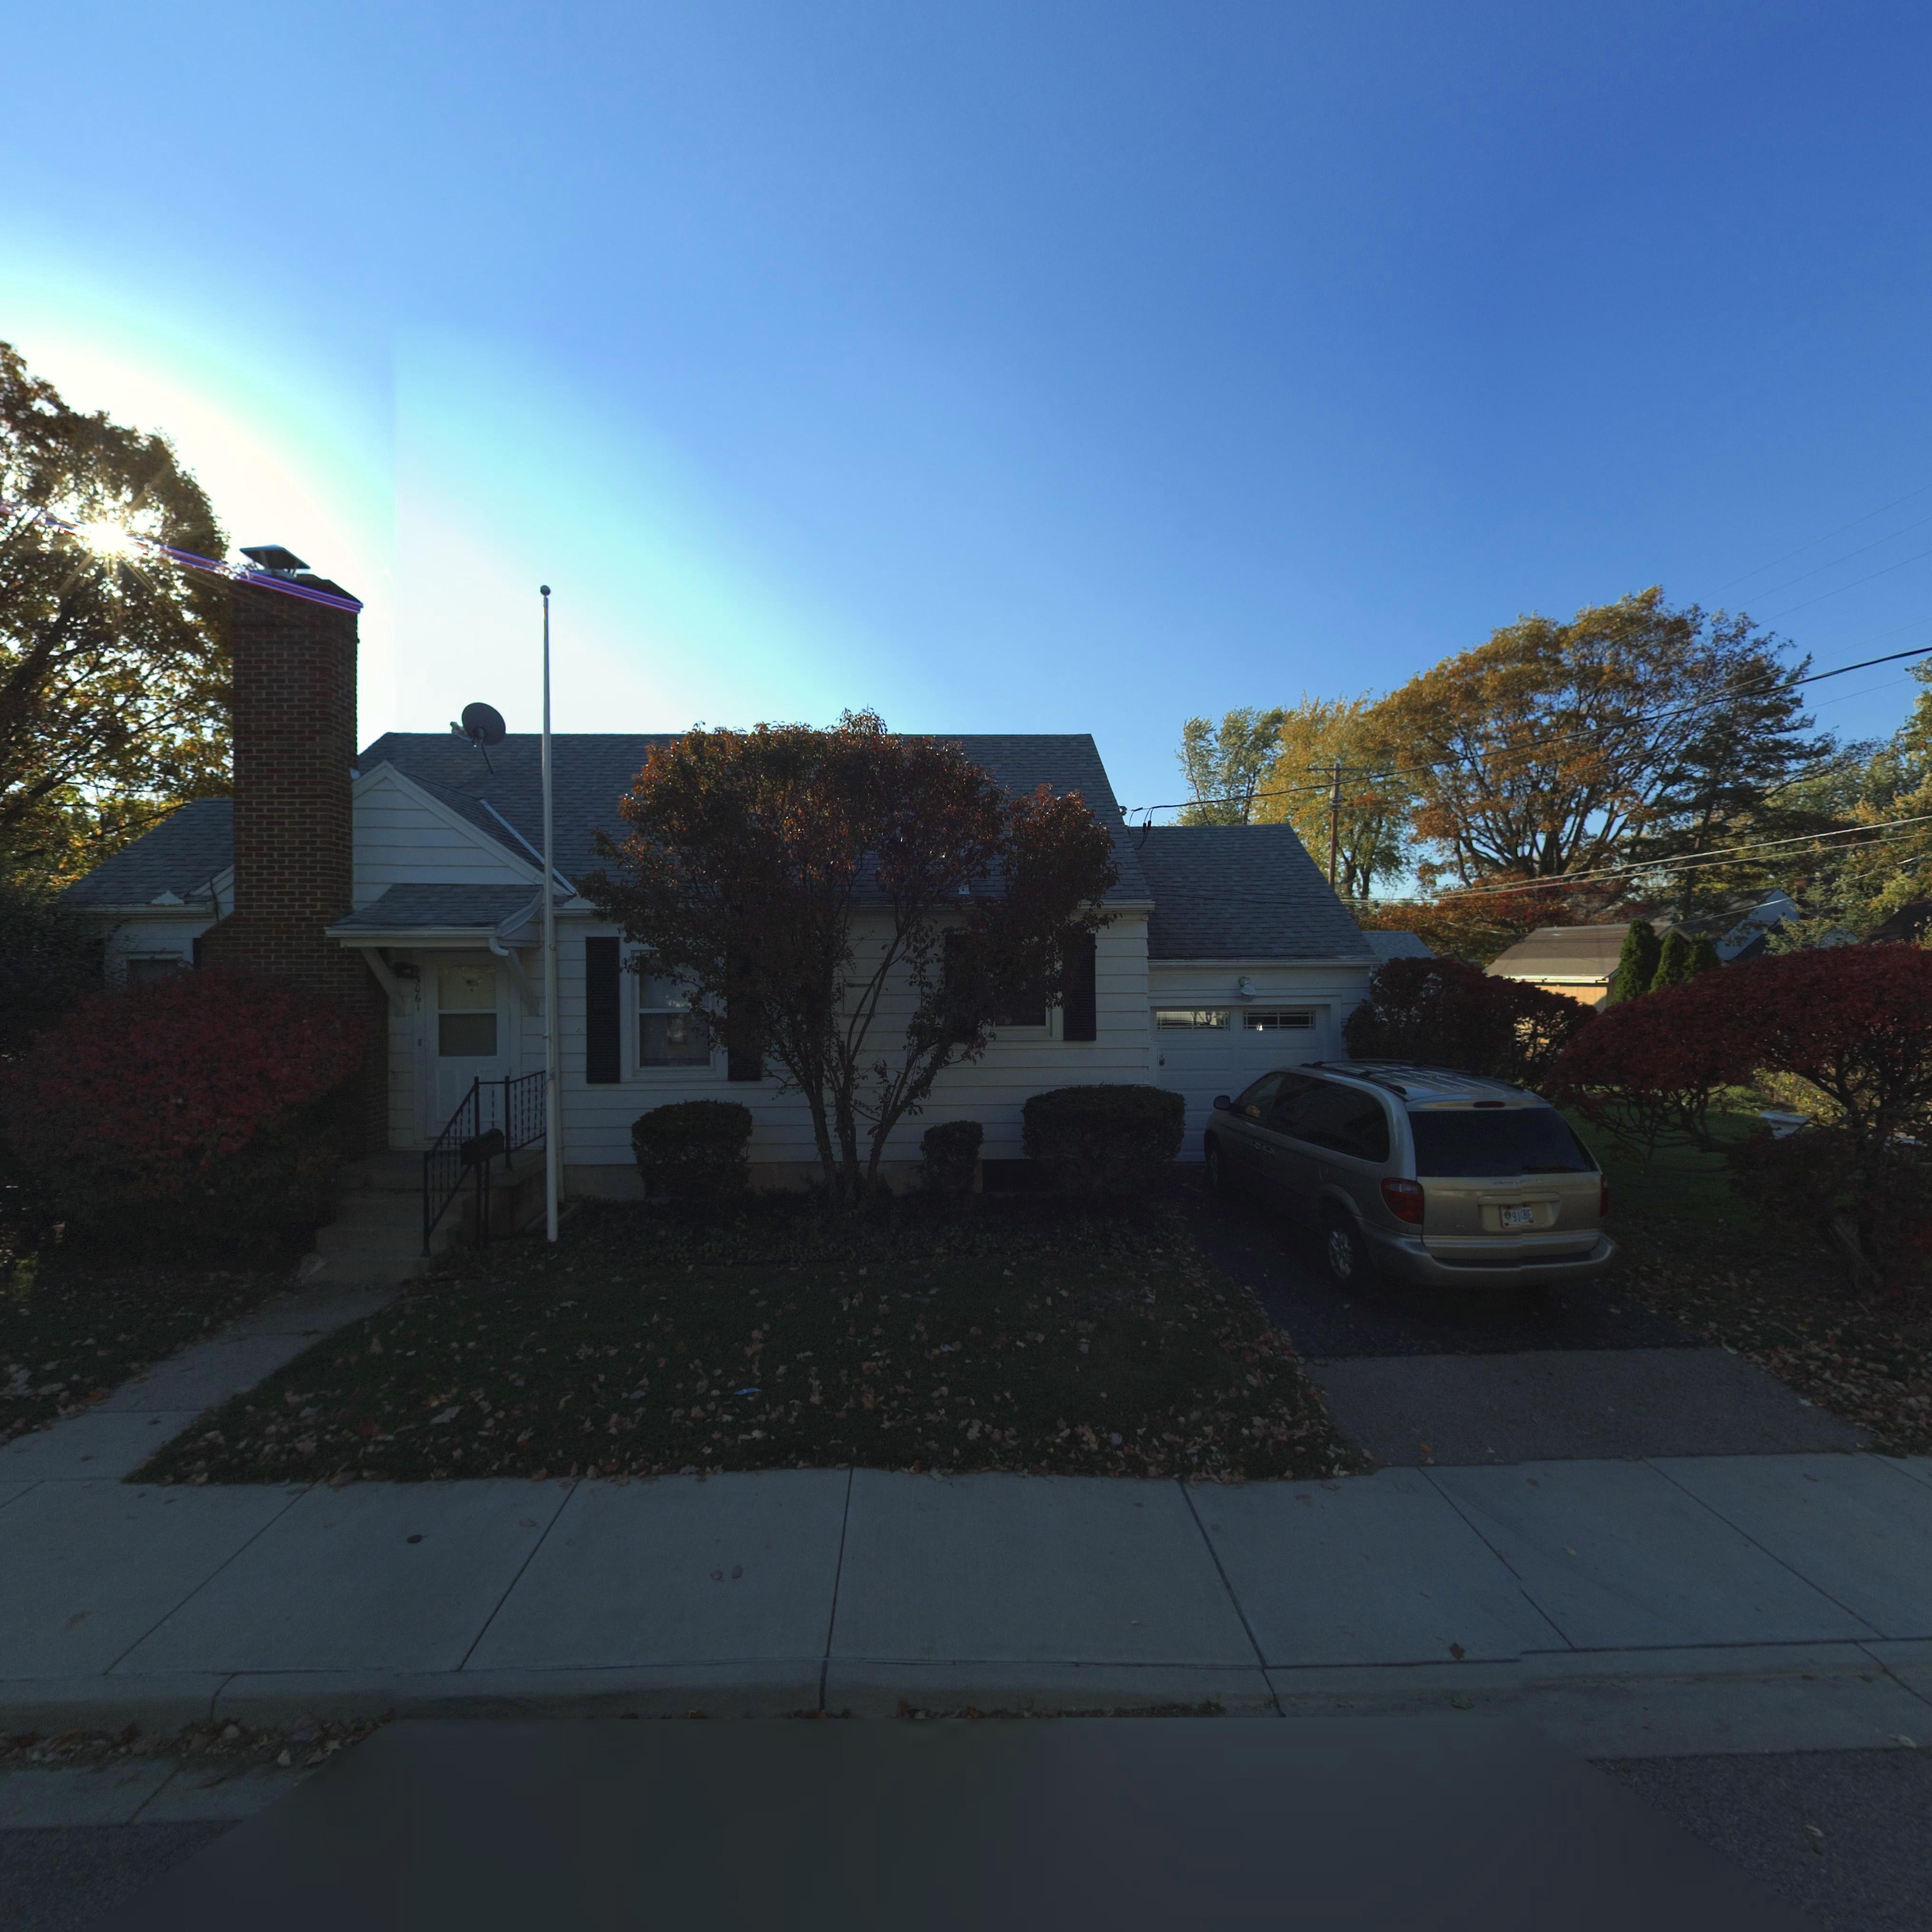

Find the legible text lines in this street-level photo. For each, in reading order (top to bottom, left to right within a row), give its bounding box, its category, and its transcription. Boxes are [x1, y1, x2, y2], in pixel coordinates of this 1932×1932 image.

[413, 975, 422, 1013] StreetNumber: 3061